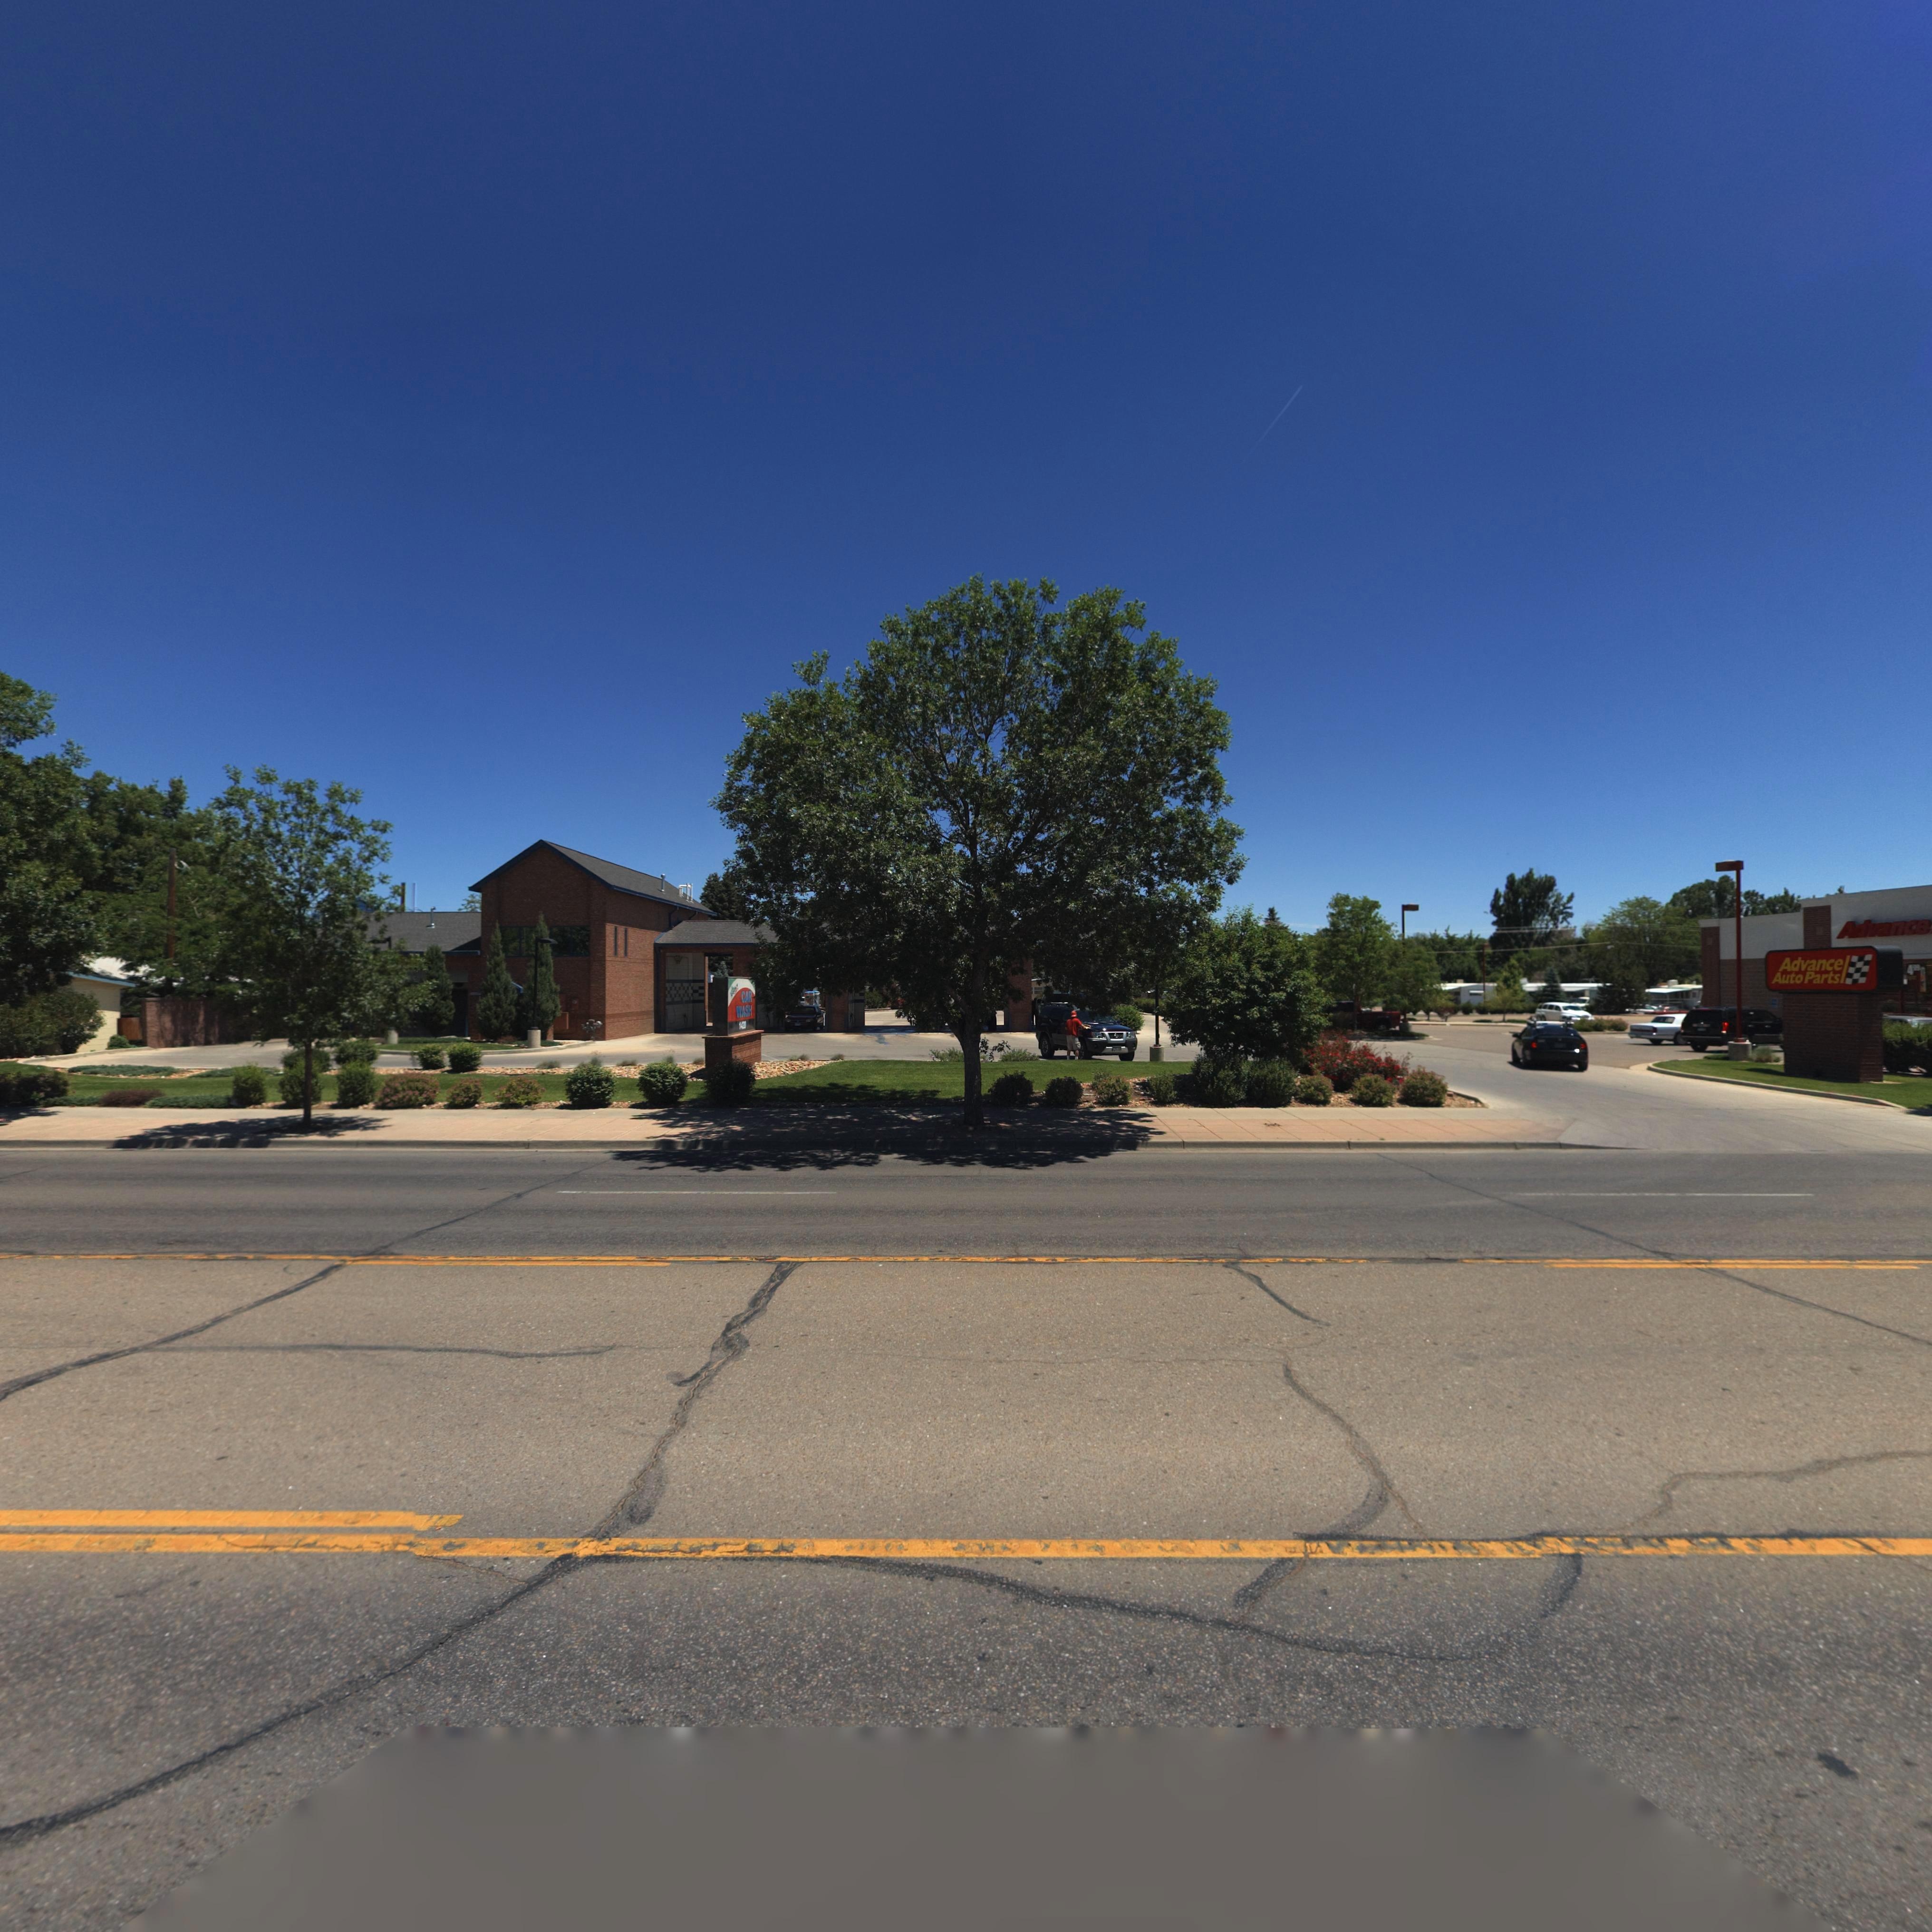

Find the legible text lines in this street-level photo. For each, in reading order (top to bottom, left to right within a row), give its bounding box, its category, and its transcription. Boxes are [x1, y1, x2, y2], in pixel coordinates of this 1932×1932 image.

[1834, 918, 1931, 940] BusinessName: Advance
[1776, 956, 1844, 973] BusinessName: Advance
[1770, 972, 1841, 984] BusinessName: Auto Parts
[738, 1020, 747, 1030] StreetNumber: 1420